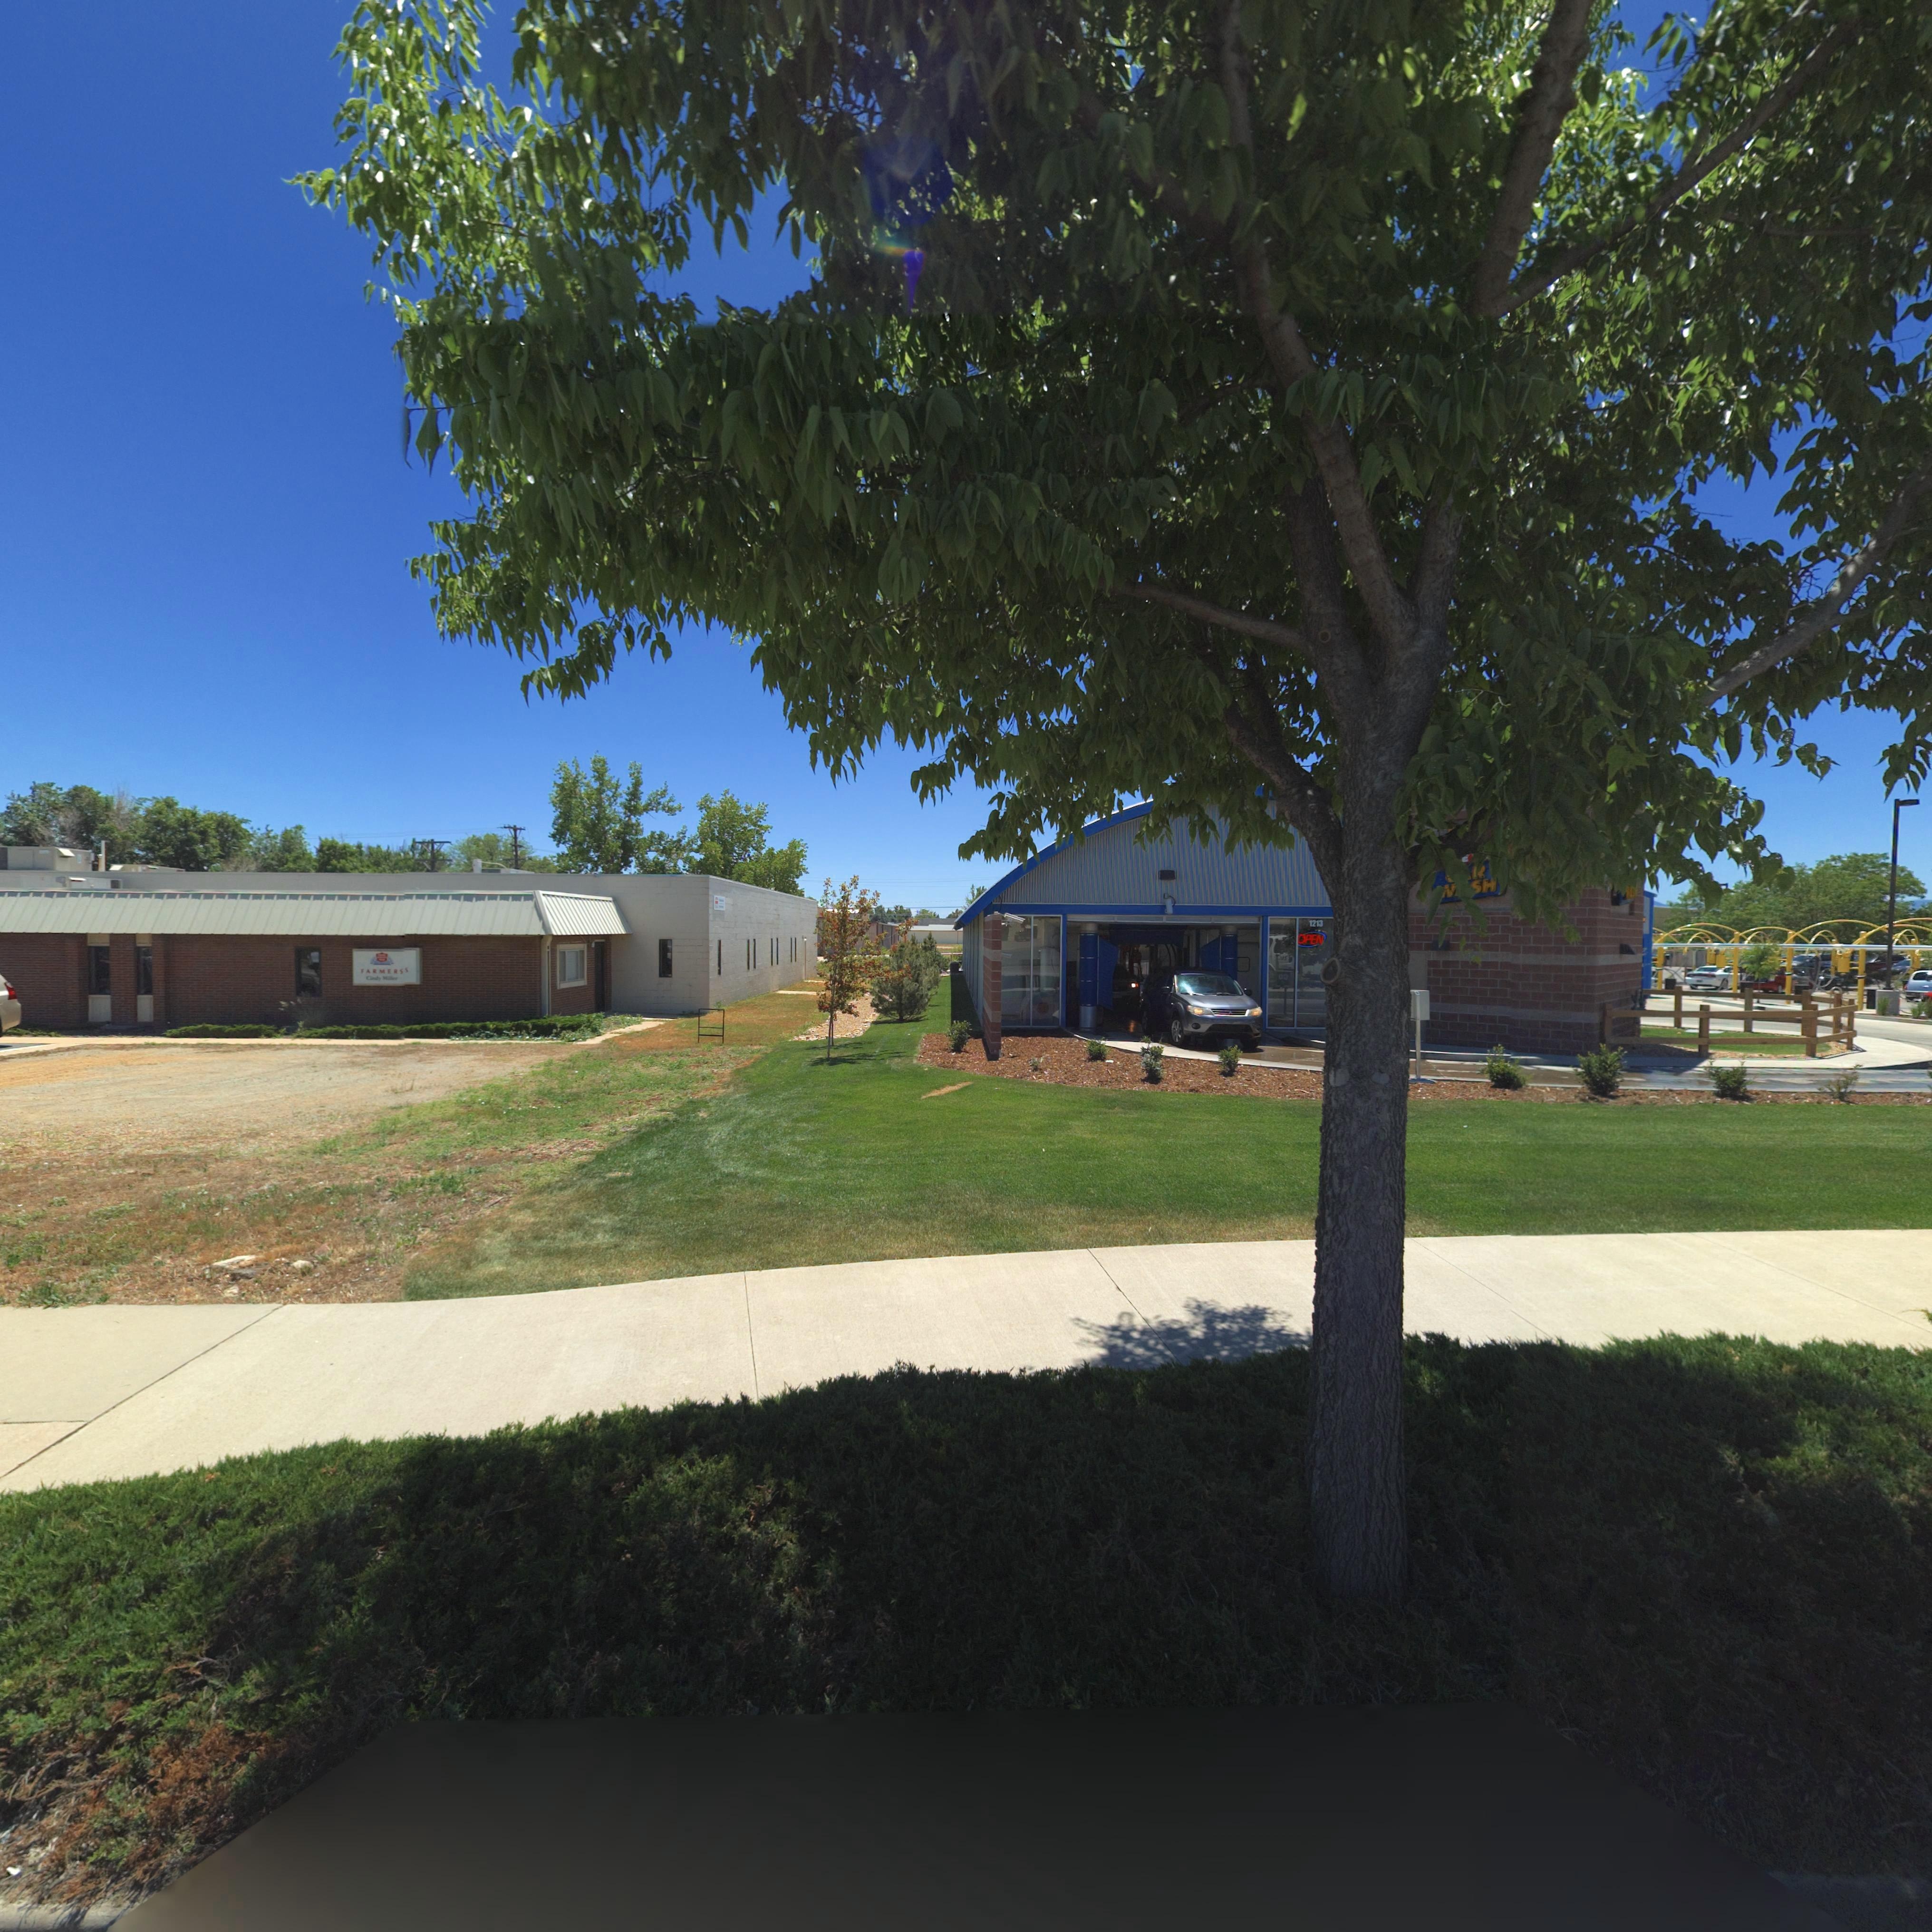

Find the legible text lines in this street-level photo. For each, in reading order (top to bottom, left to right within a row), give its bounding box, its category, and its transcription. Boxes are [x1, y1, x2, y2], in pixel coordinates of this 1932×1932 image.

[1308, 919, 1323, 927] StreetNumber: 1213
[360, 966, 409, 975] BusinessName: FARMERSS